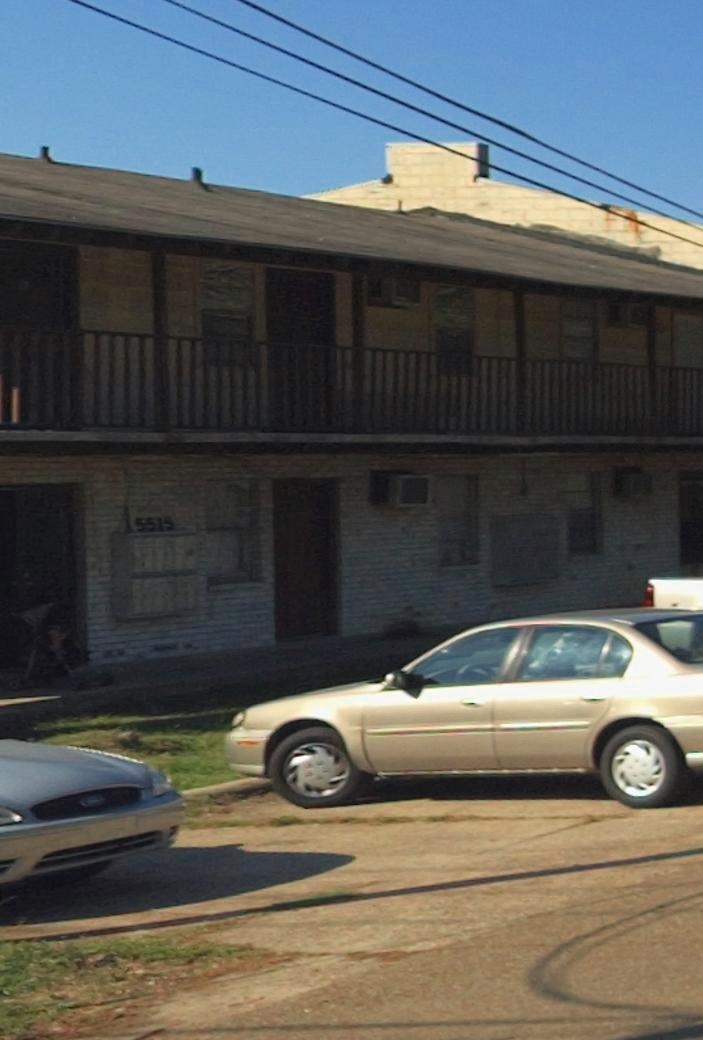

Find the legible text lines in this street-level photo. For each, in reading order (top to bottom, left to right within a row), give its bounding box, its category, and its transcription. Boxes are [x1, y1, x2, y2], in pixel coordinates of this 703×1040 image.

[133, 515, 176, 533] StreetNumber: 5515